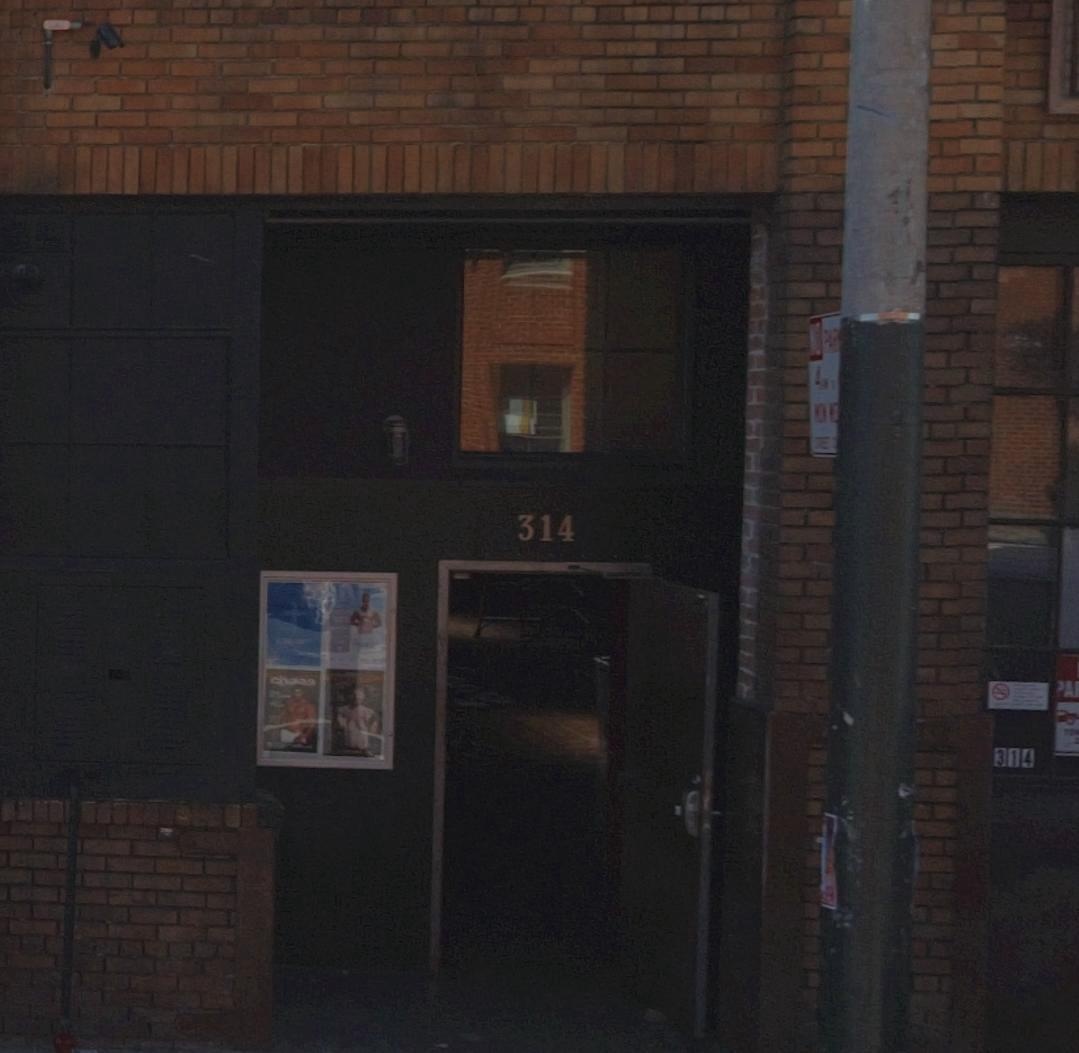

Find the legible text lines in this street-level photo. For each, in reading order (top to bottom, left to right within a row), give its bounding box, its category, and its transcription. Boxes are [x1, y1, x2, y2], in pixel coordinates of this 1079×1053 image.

[811, 315, 843, 360] None: O PAR
[511, 510, 579, 547] StreetNumber: 314
[267, 671, 290, 687] None: ch
[1060, 677, 1078, 701] None: A
[993, 745, 1034, 772] StreetNumber: 314